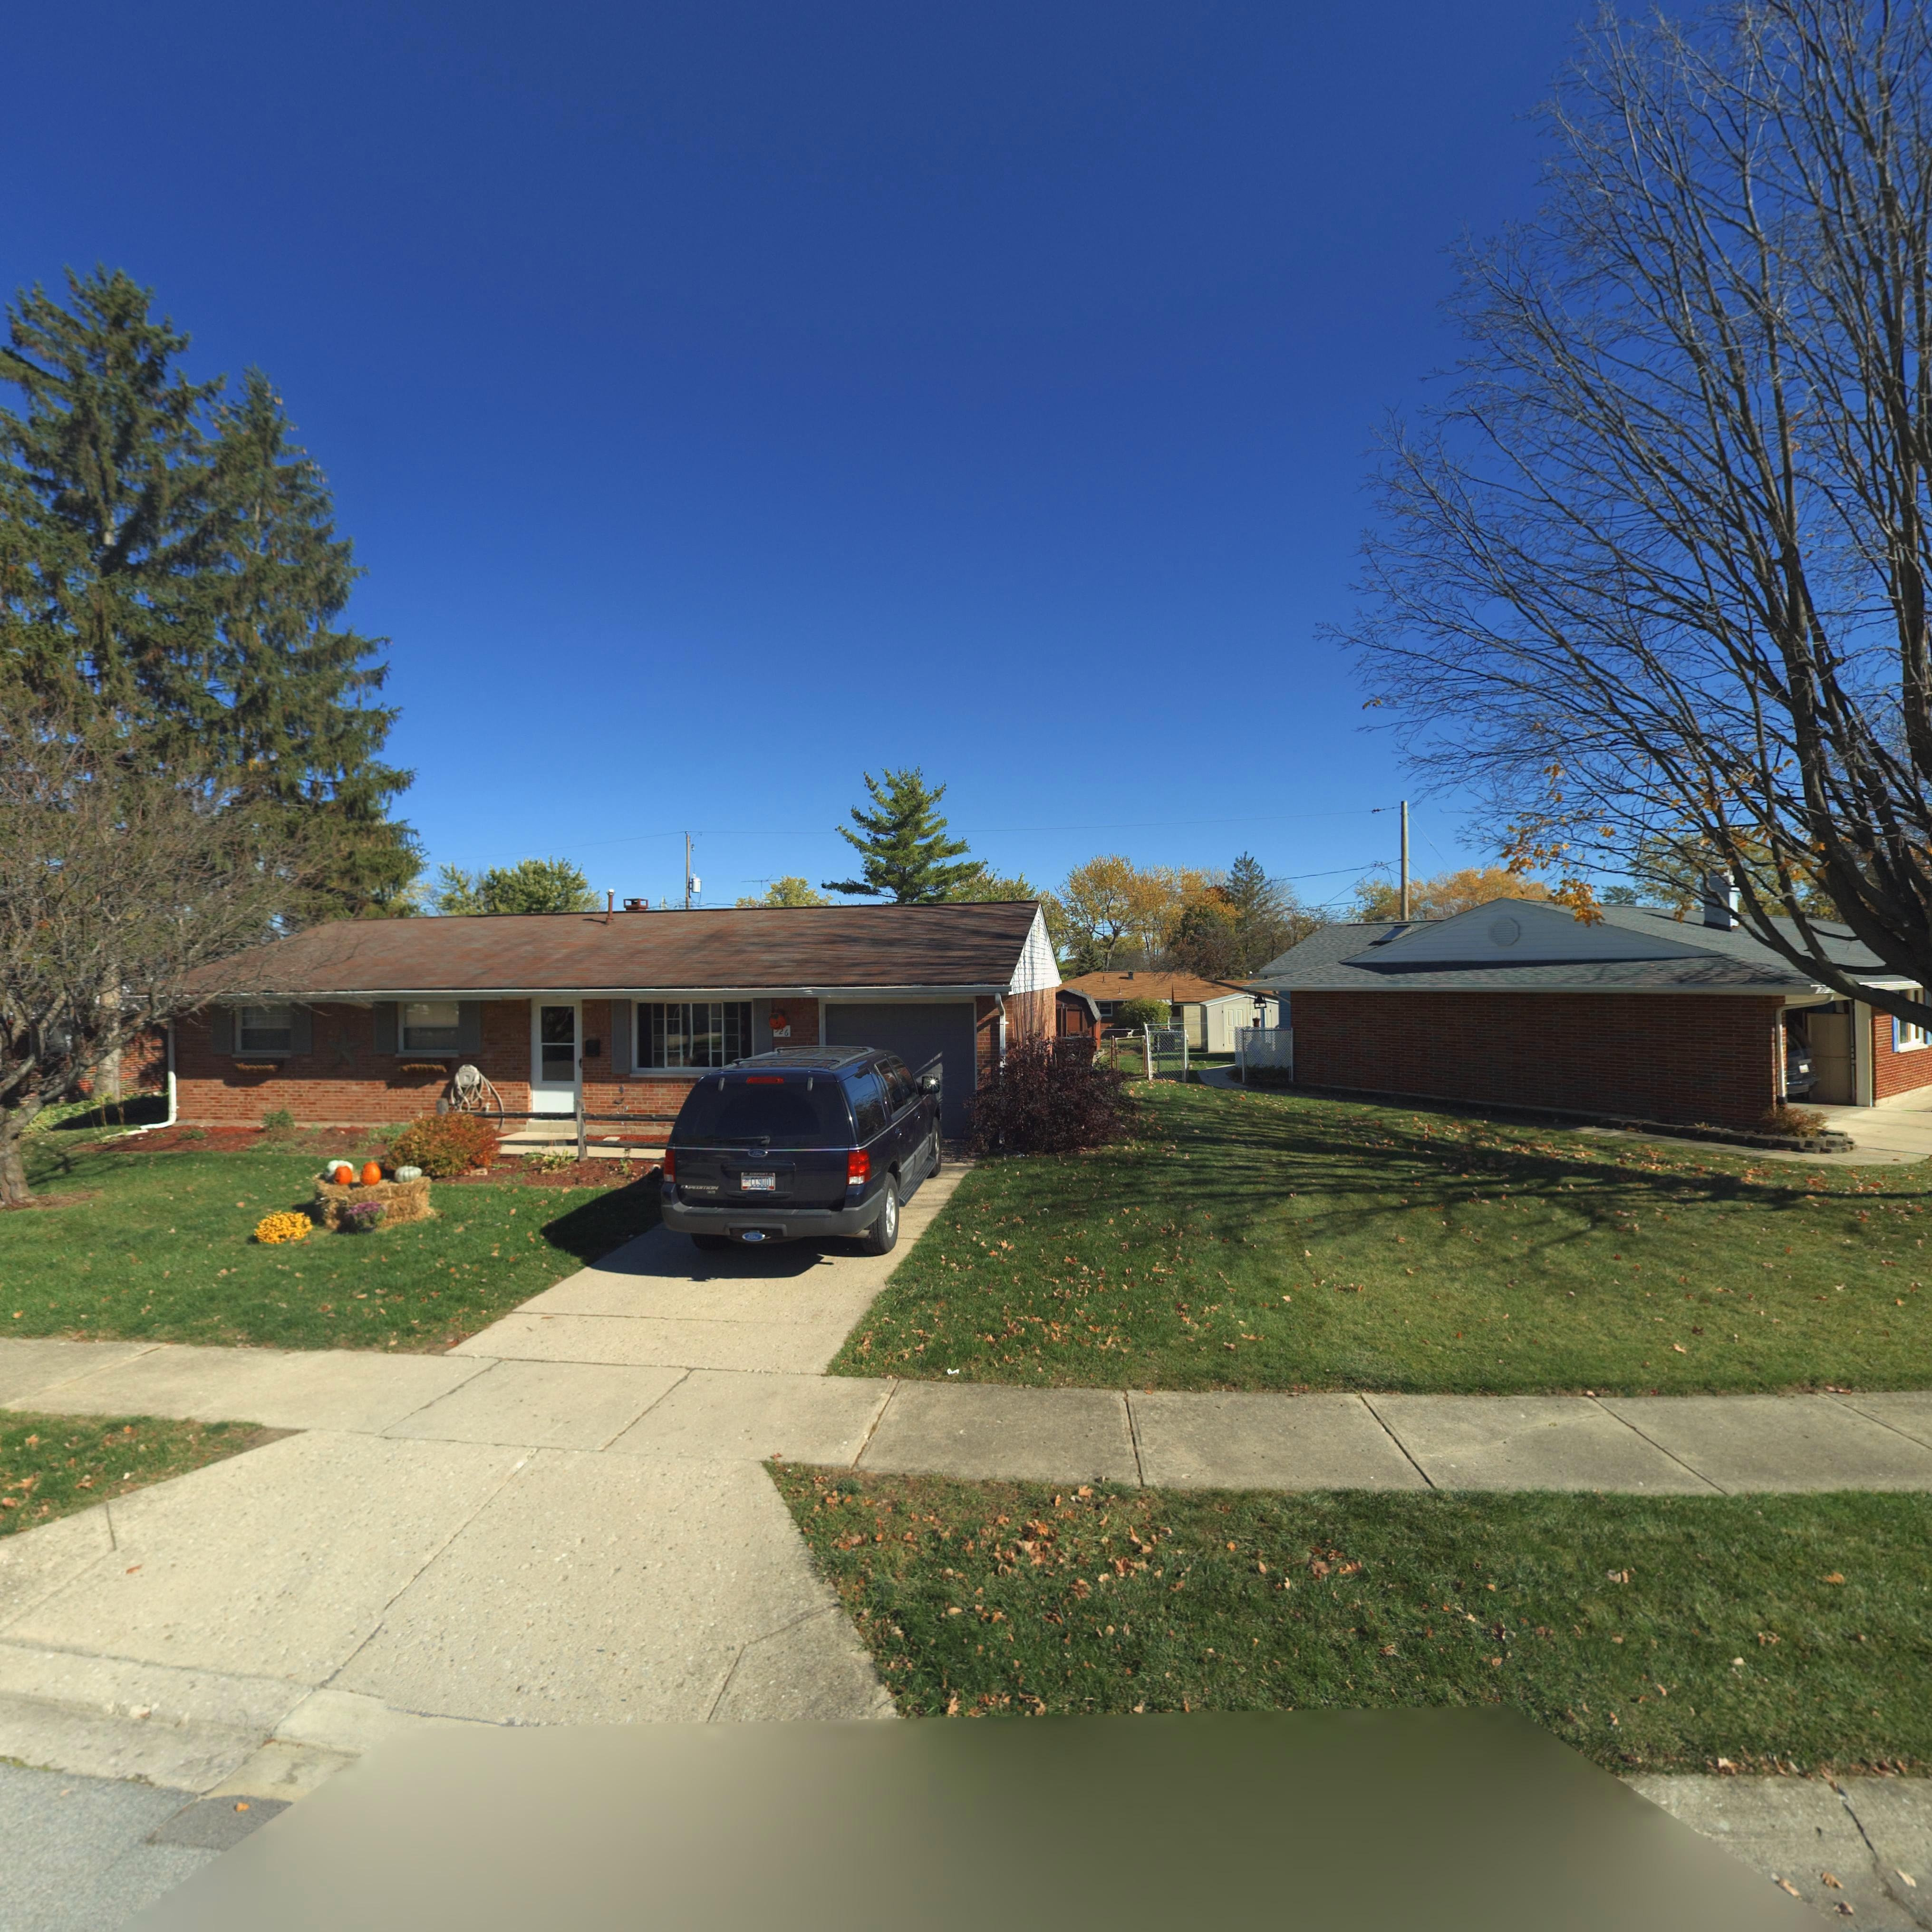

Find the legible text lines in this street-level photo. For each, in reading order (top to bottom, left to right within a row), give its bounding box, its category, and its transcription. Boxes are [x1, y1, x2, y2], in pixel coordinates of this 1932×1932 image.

[778, 1027, 790, 1037] StreetNumber: *6